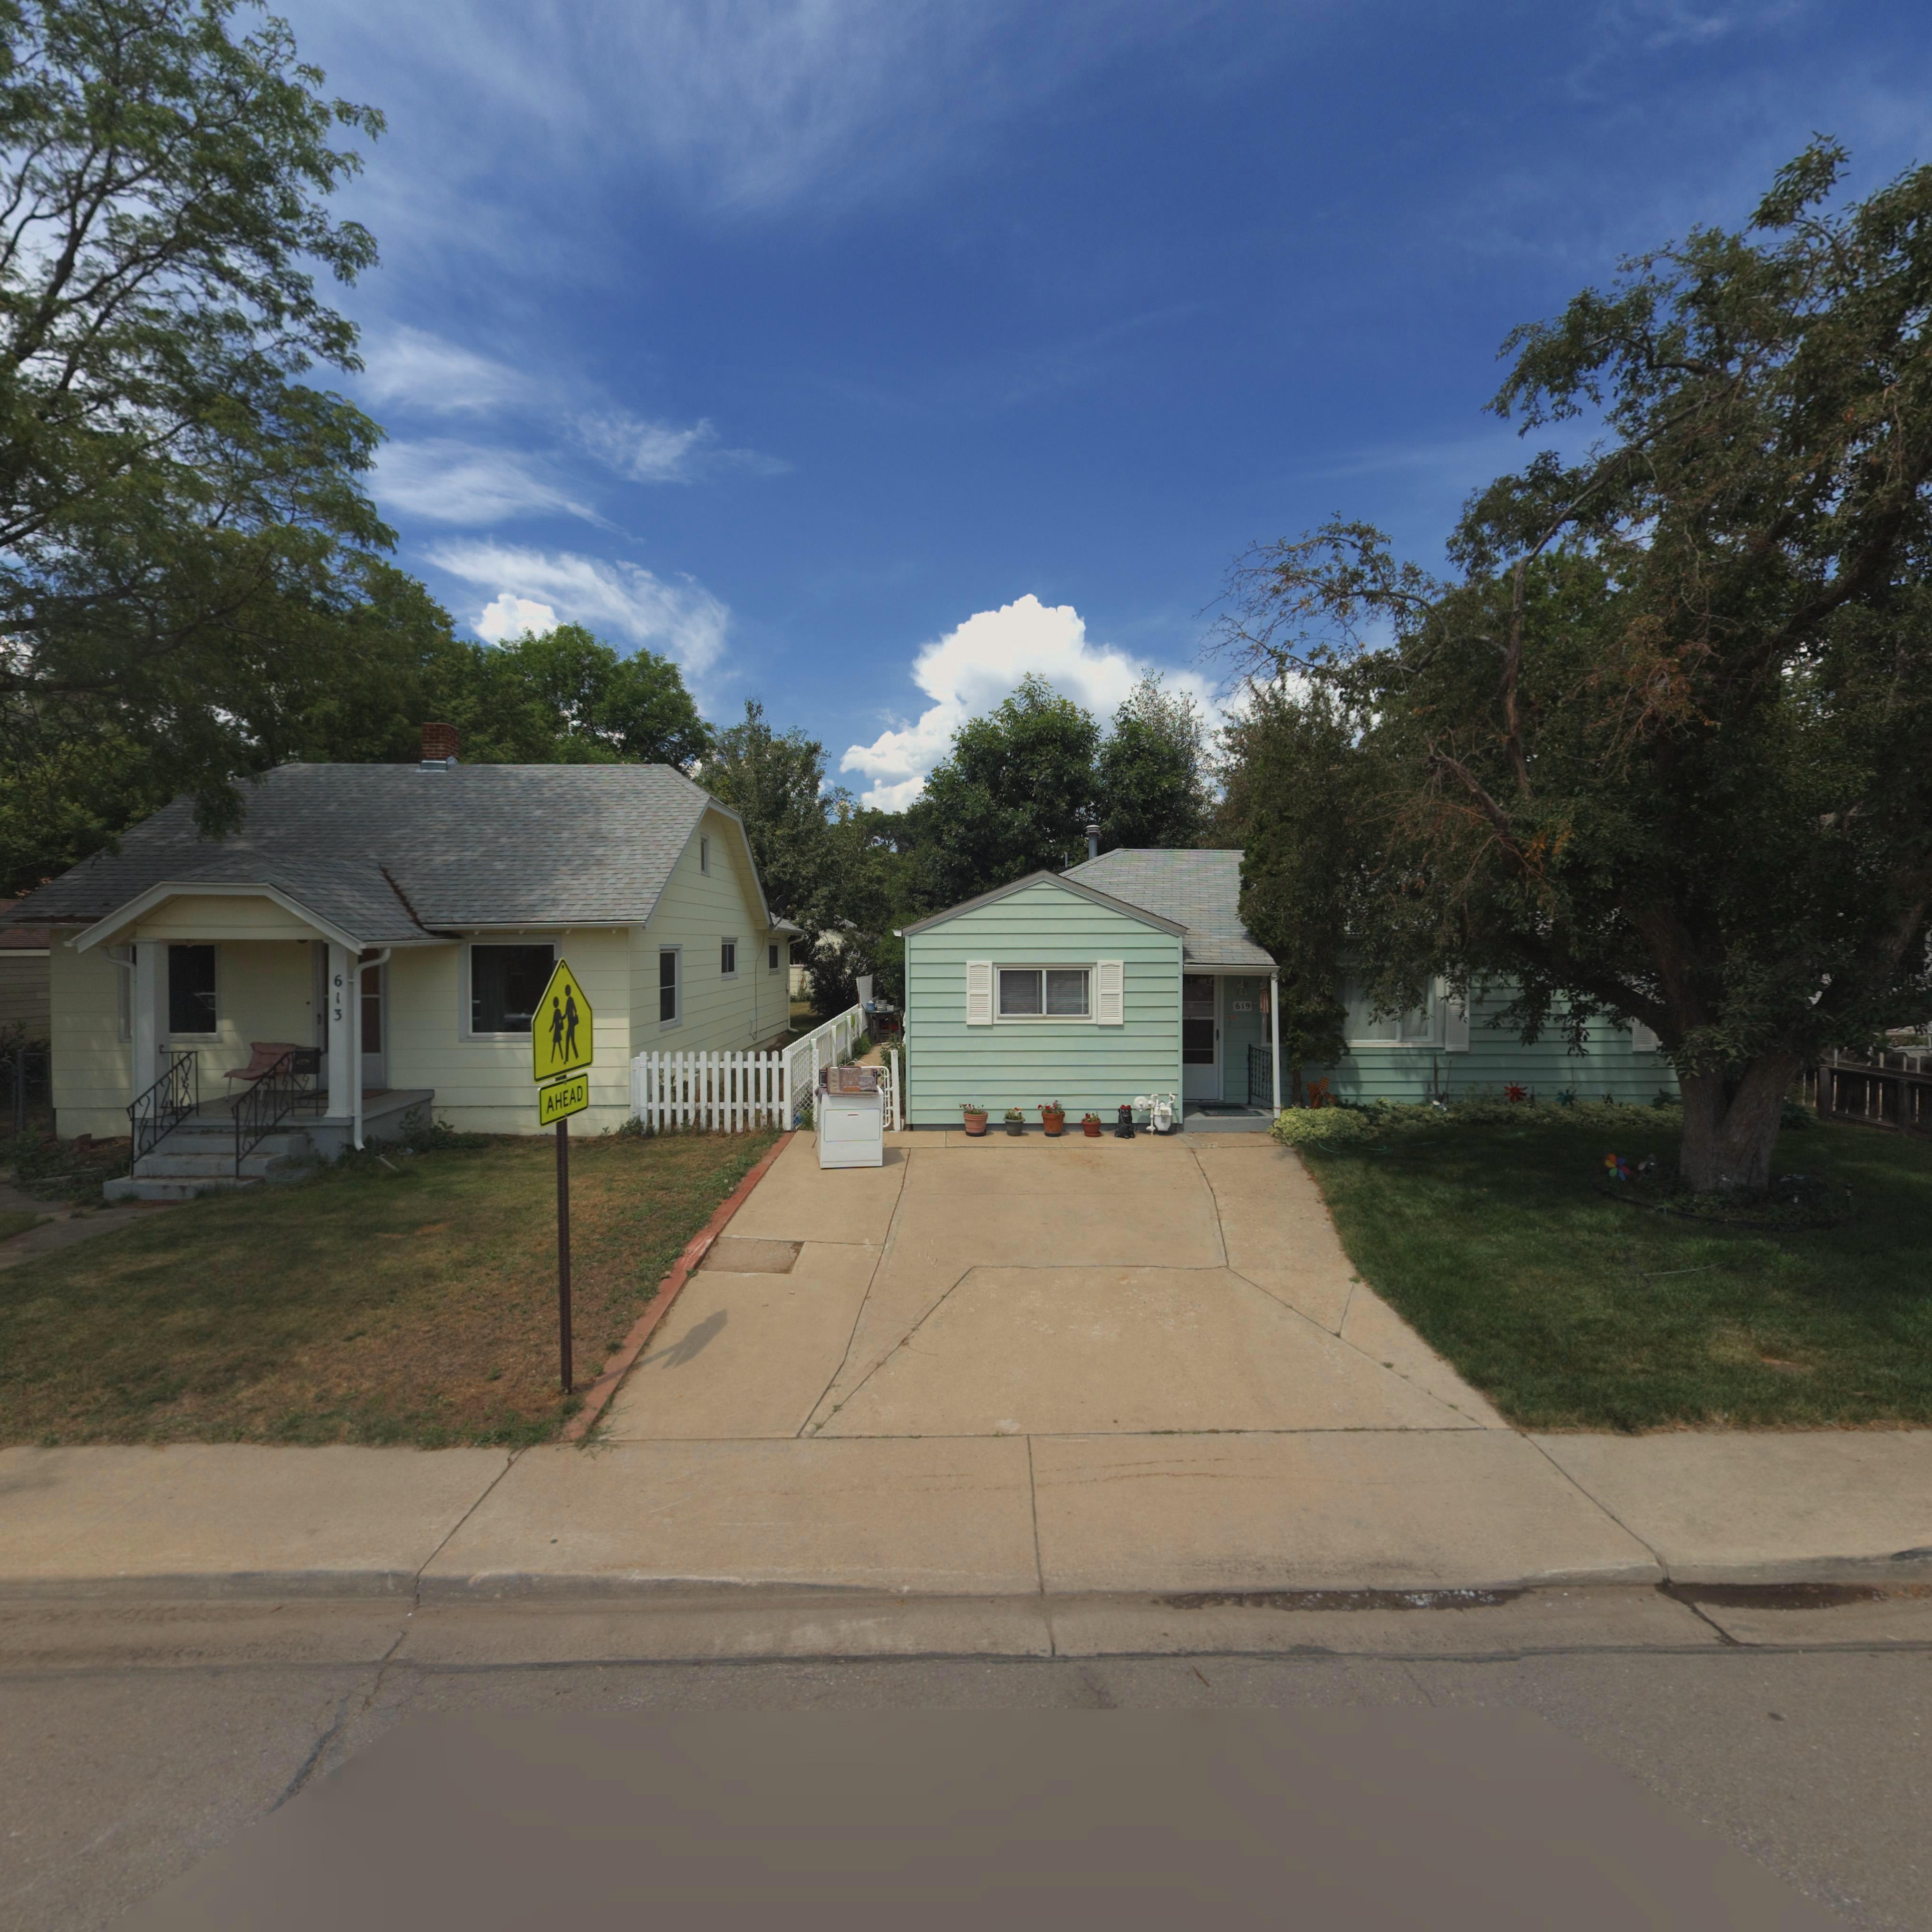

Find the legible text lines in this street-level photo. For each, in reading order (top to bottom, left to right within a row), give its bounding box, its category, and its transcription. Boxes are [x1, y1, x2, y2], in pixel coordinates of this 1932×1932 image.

[334, 973, 342, 1021] StreetNumber: 613
[1235, 1002, 1250, 1009] StreetNumber: 619